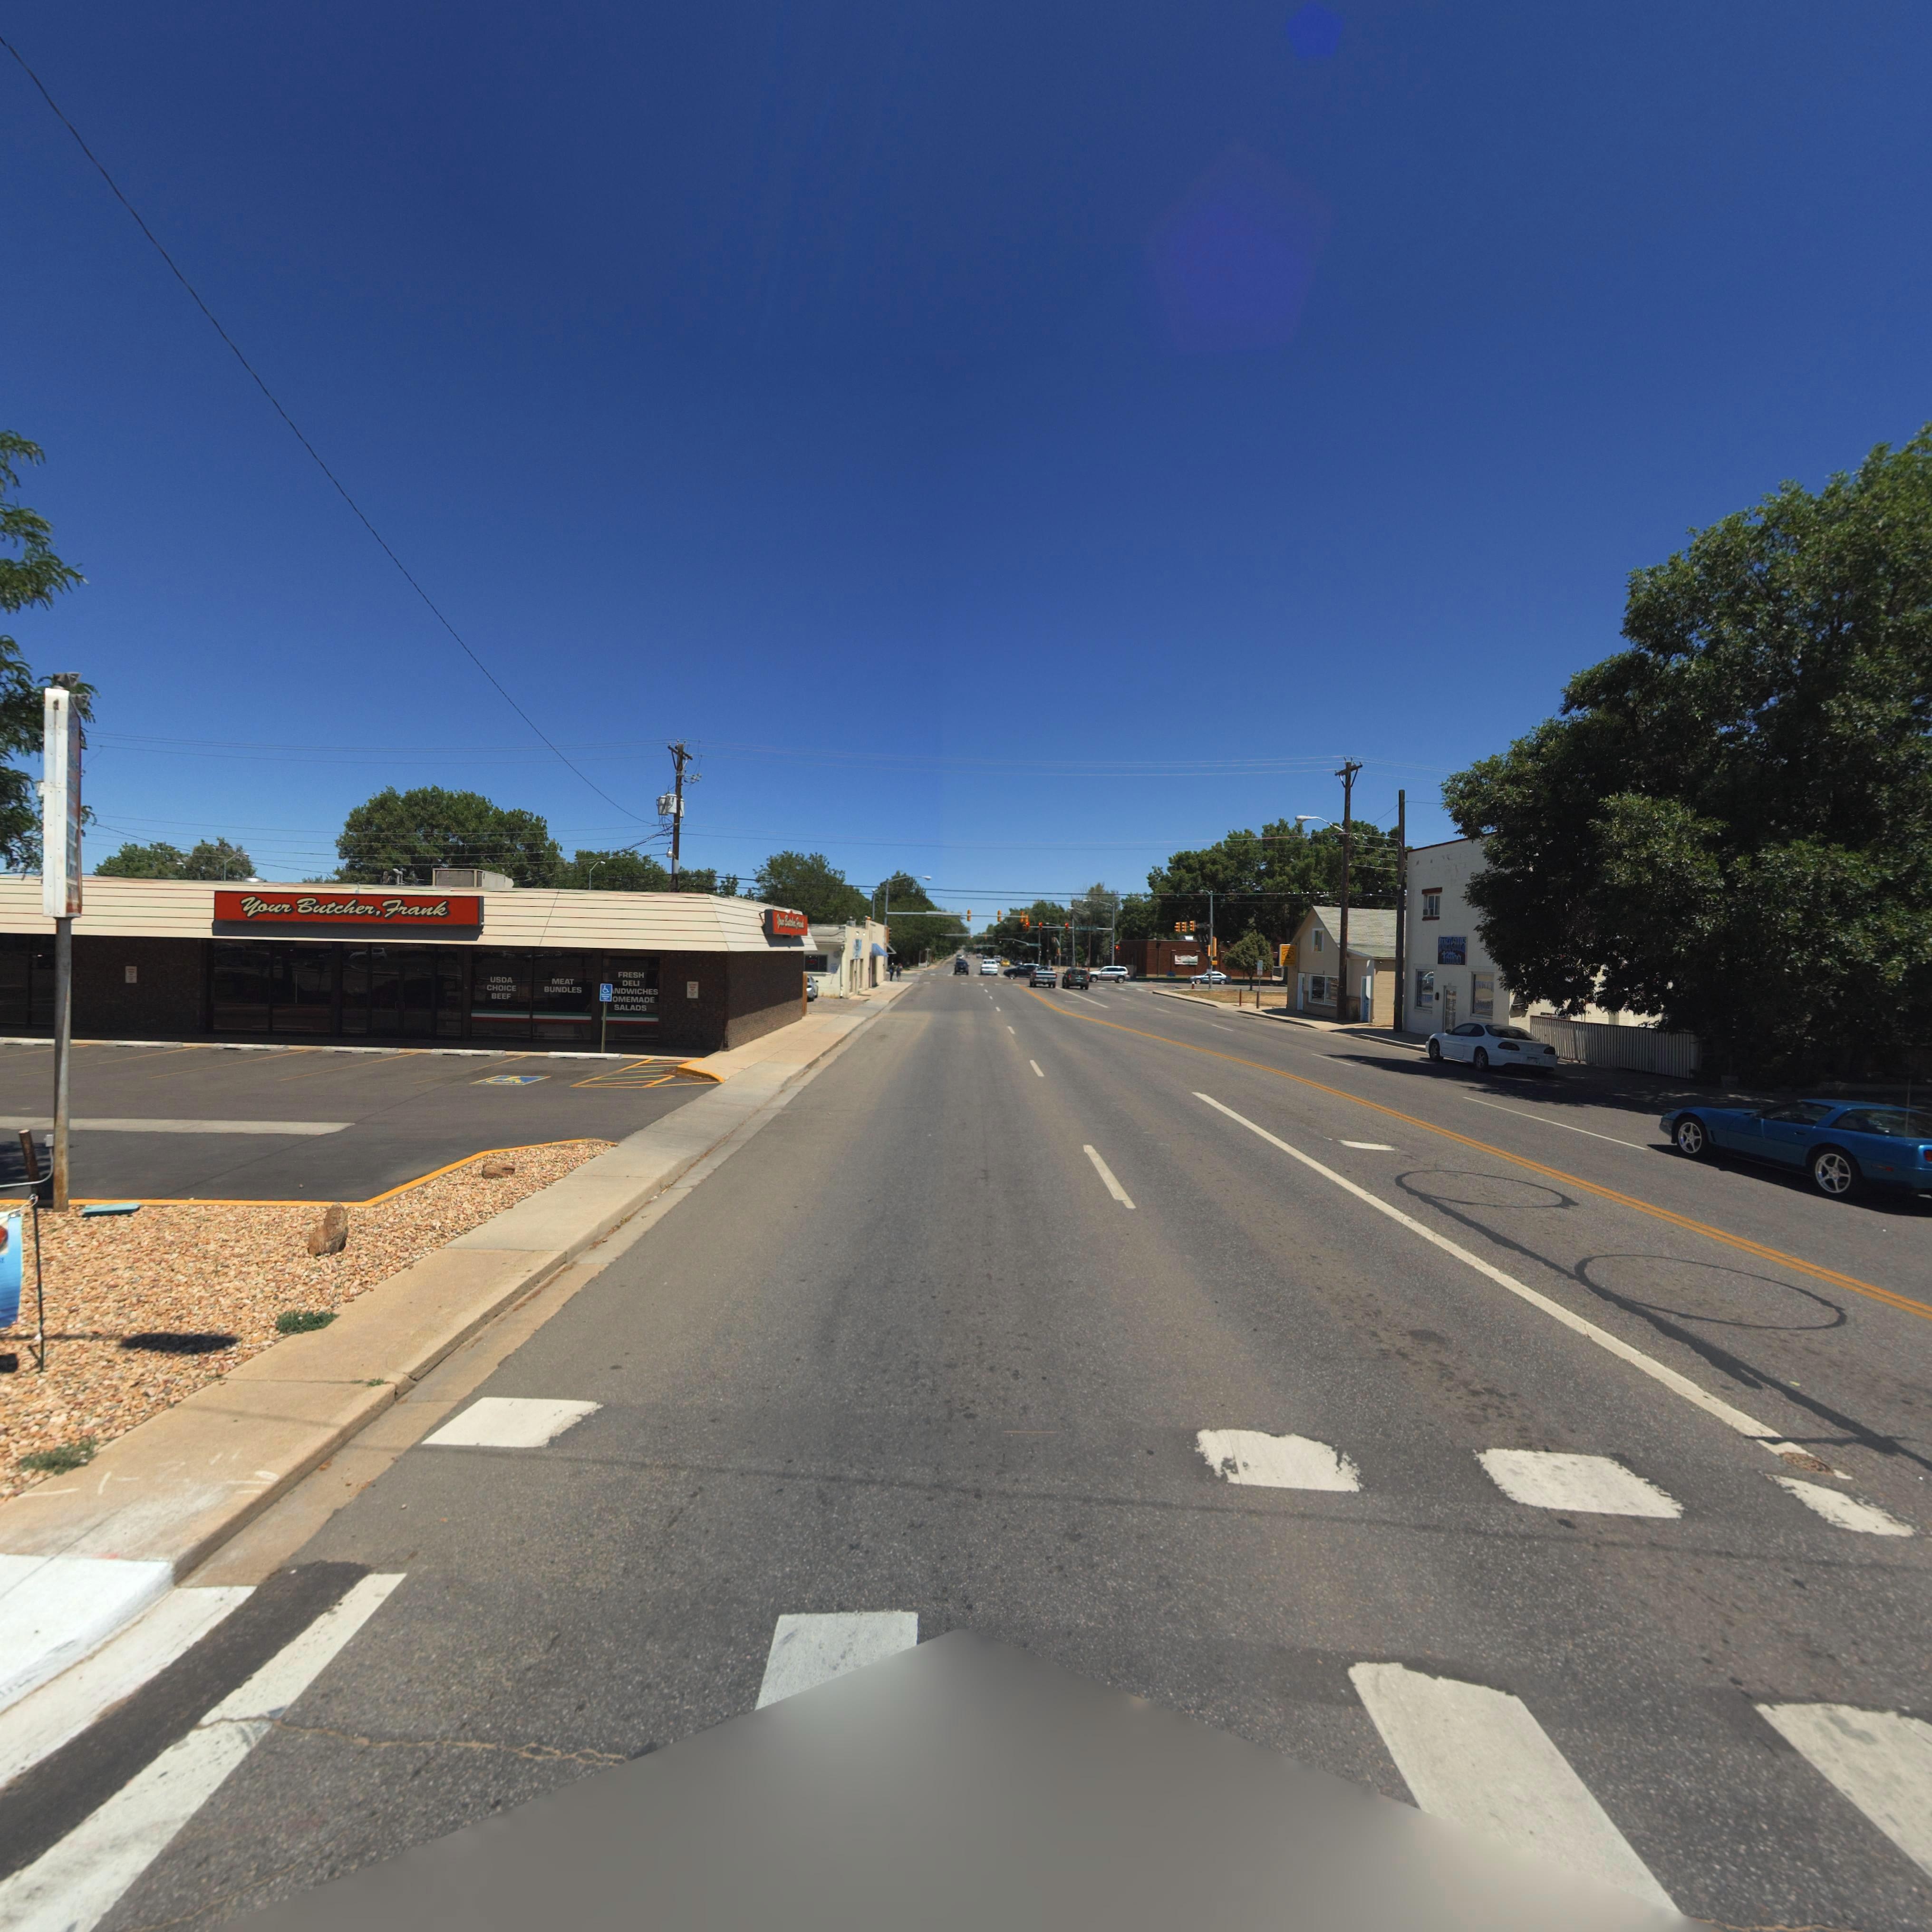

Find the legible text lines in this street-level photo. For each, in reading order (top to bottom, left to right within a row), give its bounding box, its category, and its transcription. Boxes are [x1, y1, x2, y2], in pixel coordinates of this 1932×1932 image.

[240, 895, 449, 918] BusinessName: *ou* Butche*, **ank
[777, 912, 804, 930] BusinessName: **** B**ch**, **a*k
[1080, 927, 1091, 930] StreetName: M*** S*
[1438, 937, 1466, 954] BusinessName: IN*EDSO**S
[1441, 950, 1461, 965] BusinessName: tattoo
[1474, 980, 1494, 993] BusinessName: INKED
[1473, 995, 1494, 1010] BusinessName: S***S